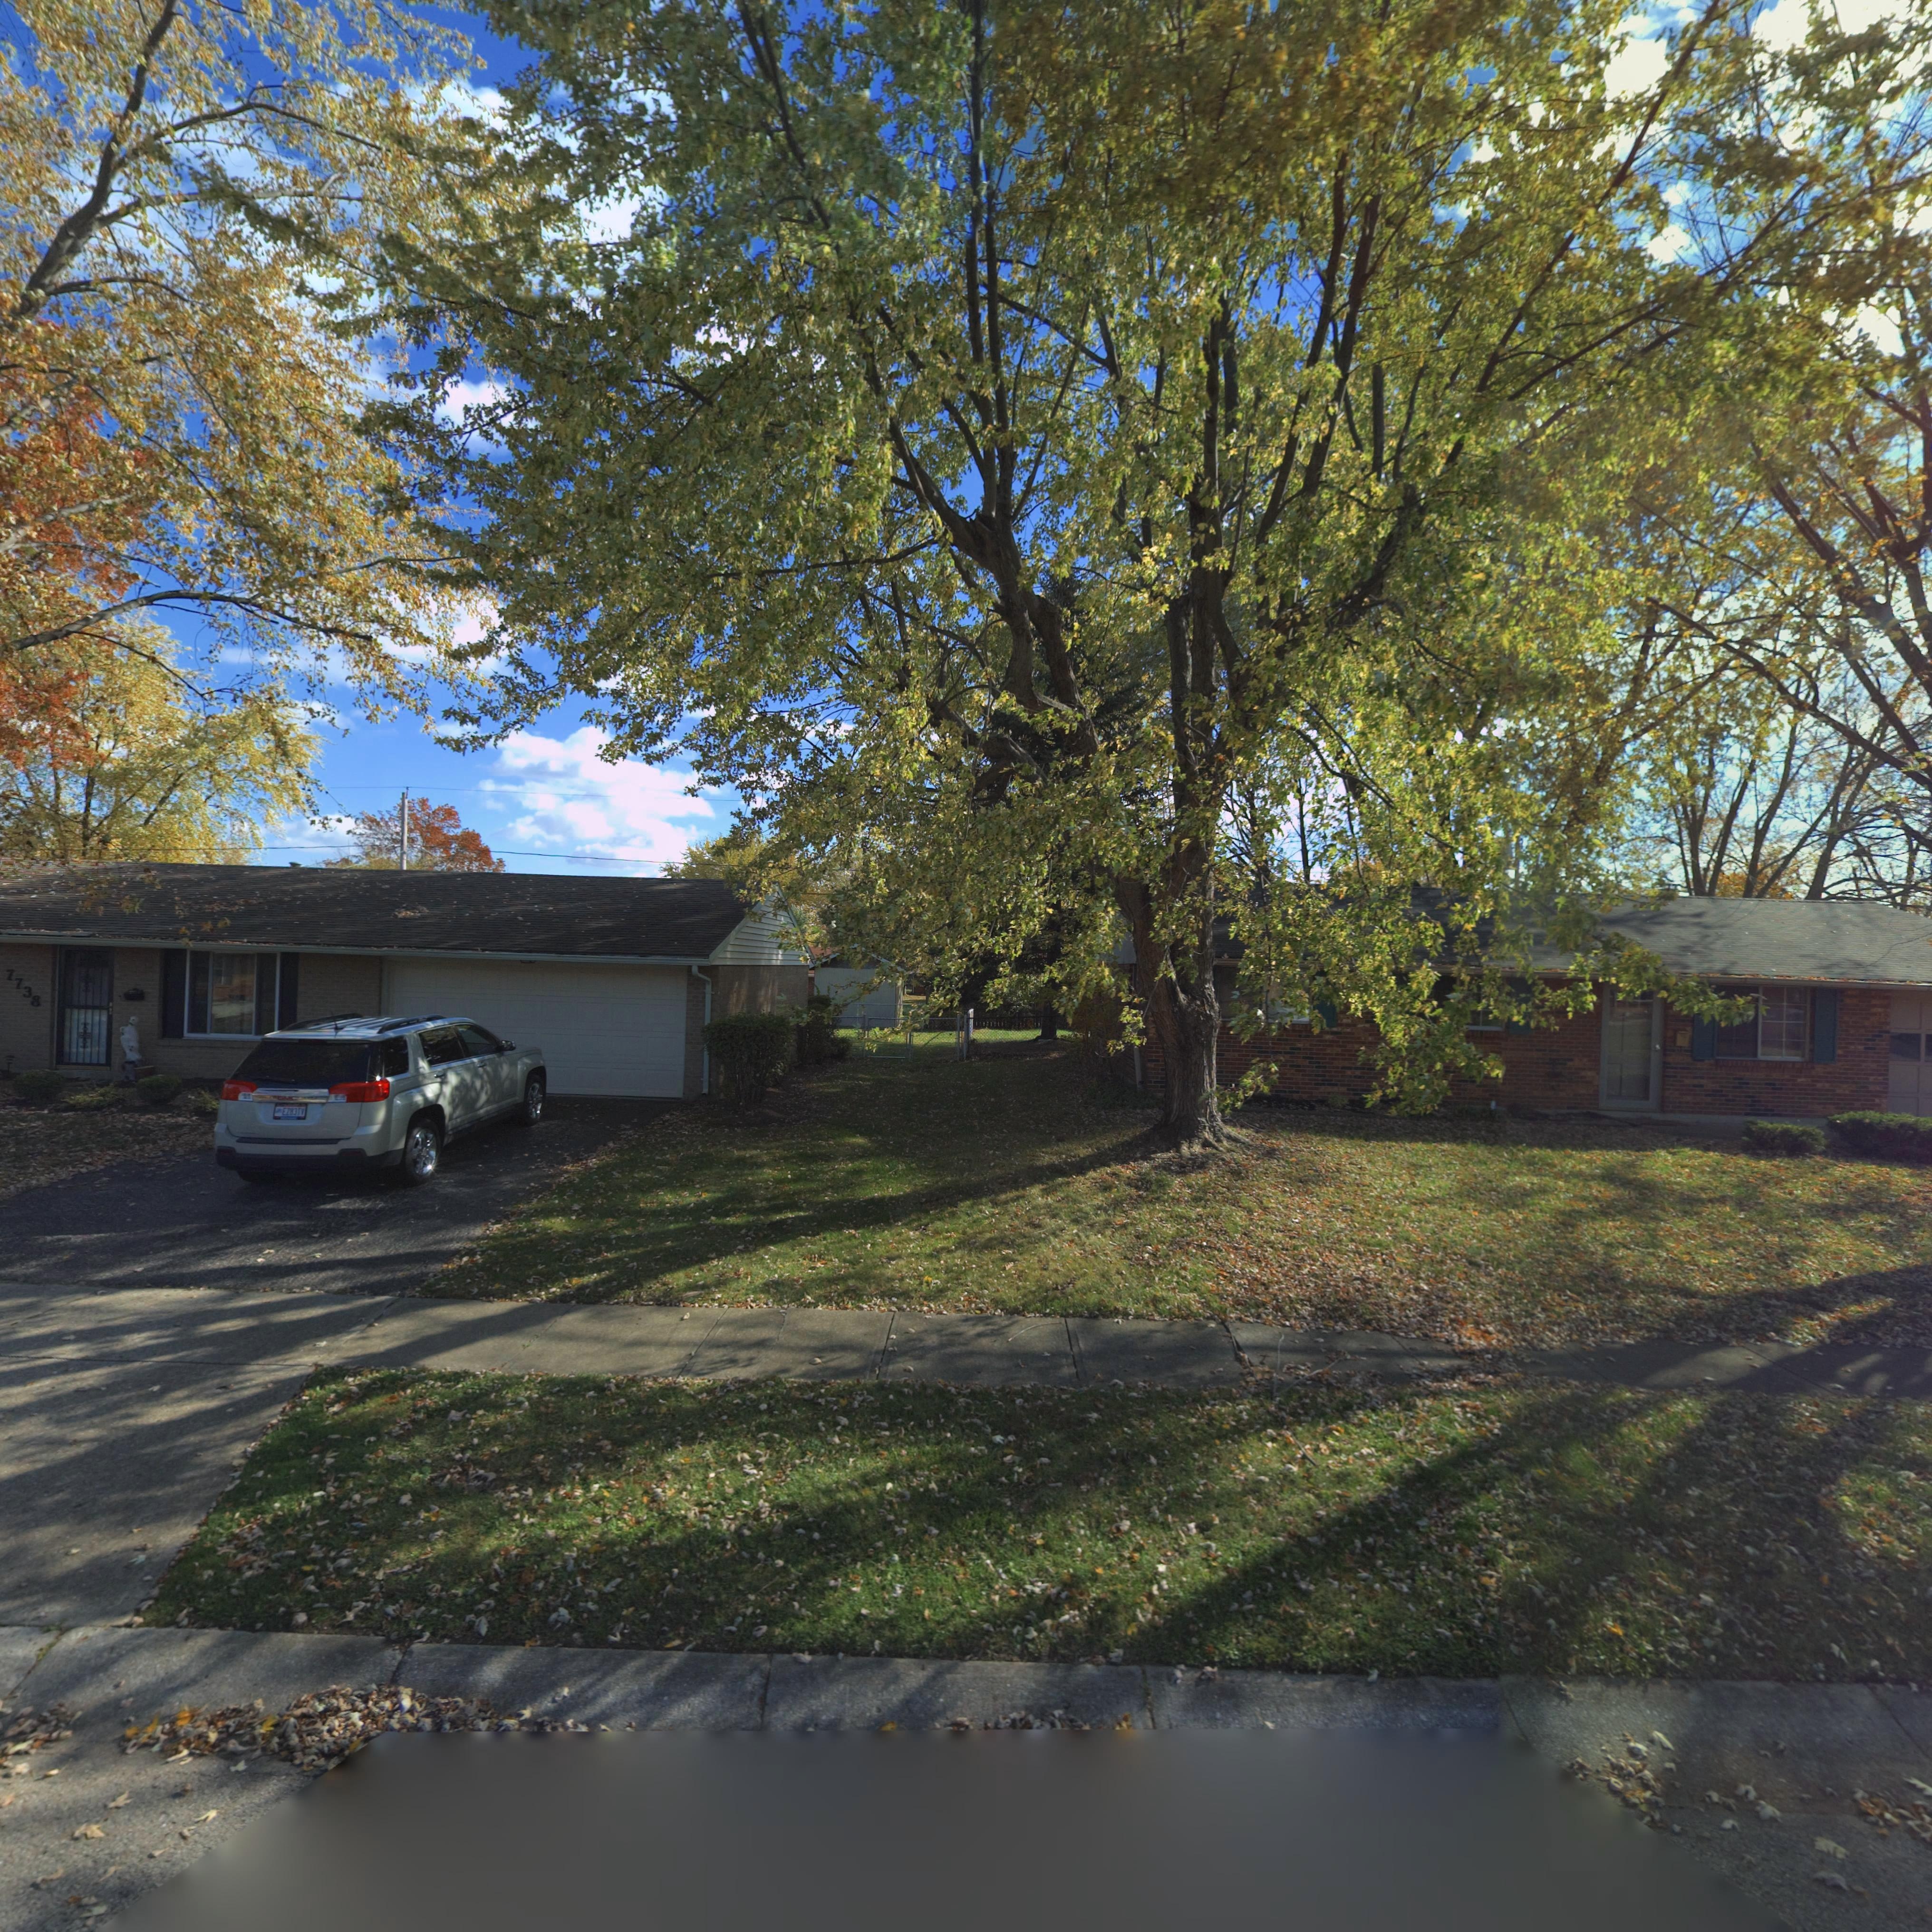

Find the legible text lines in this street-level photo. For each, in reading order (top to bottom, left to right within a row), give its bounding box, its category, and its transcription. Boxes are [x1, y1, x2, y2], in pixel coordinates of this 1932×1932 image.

[4, 968, 43, 1009] StreetNumber: 7738